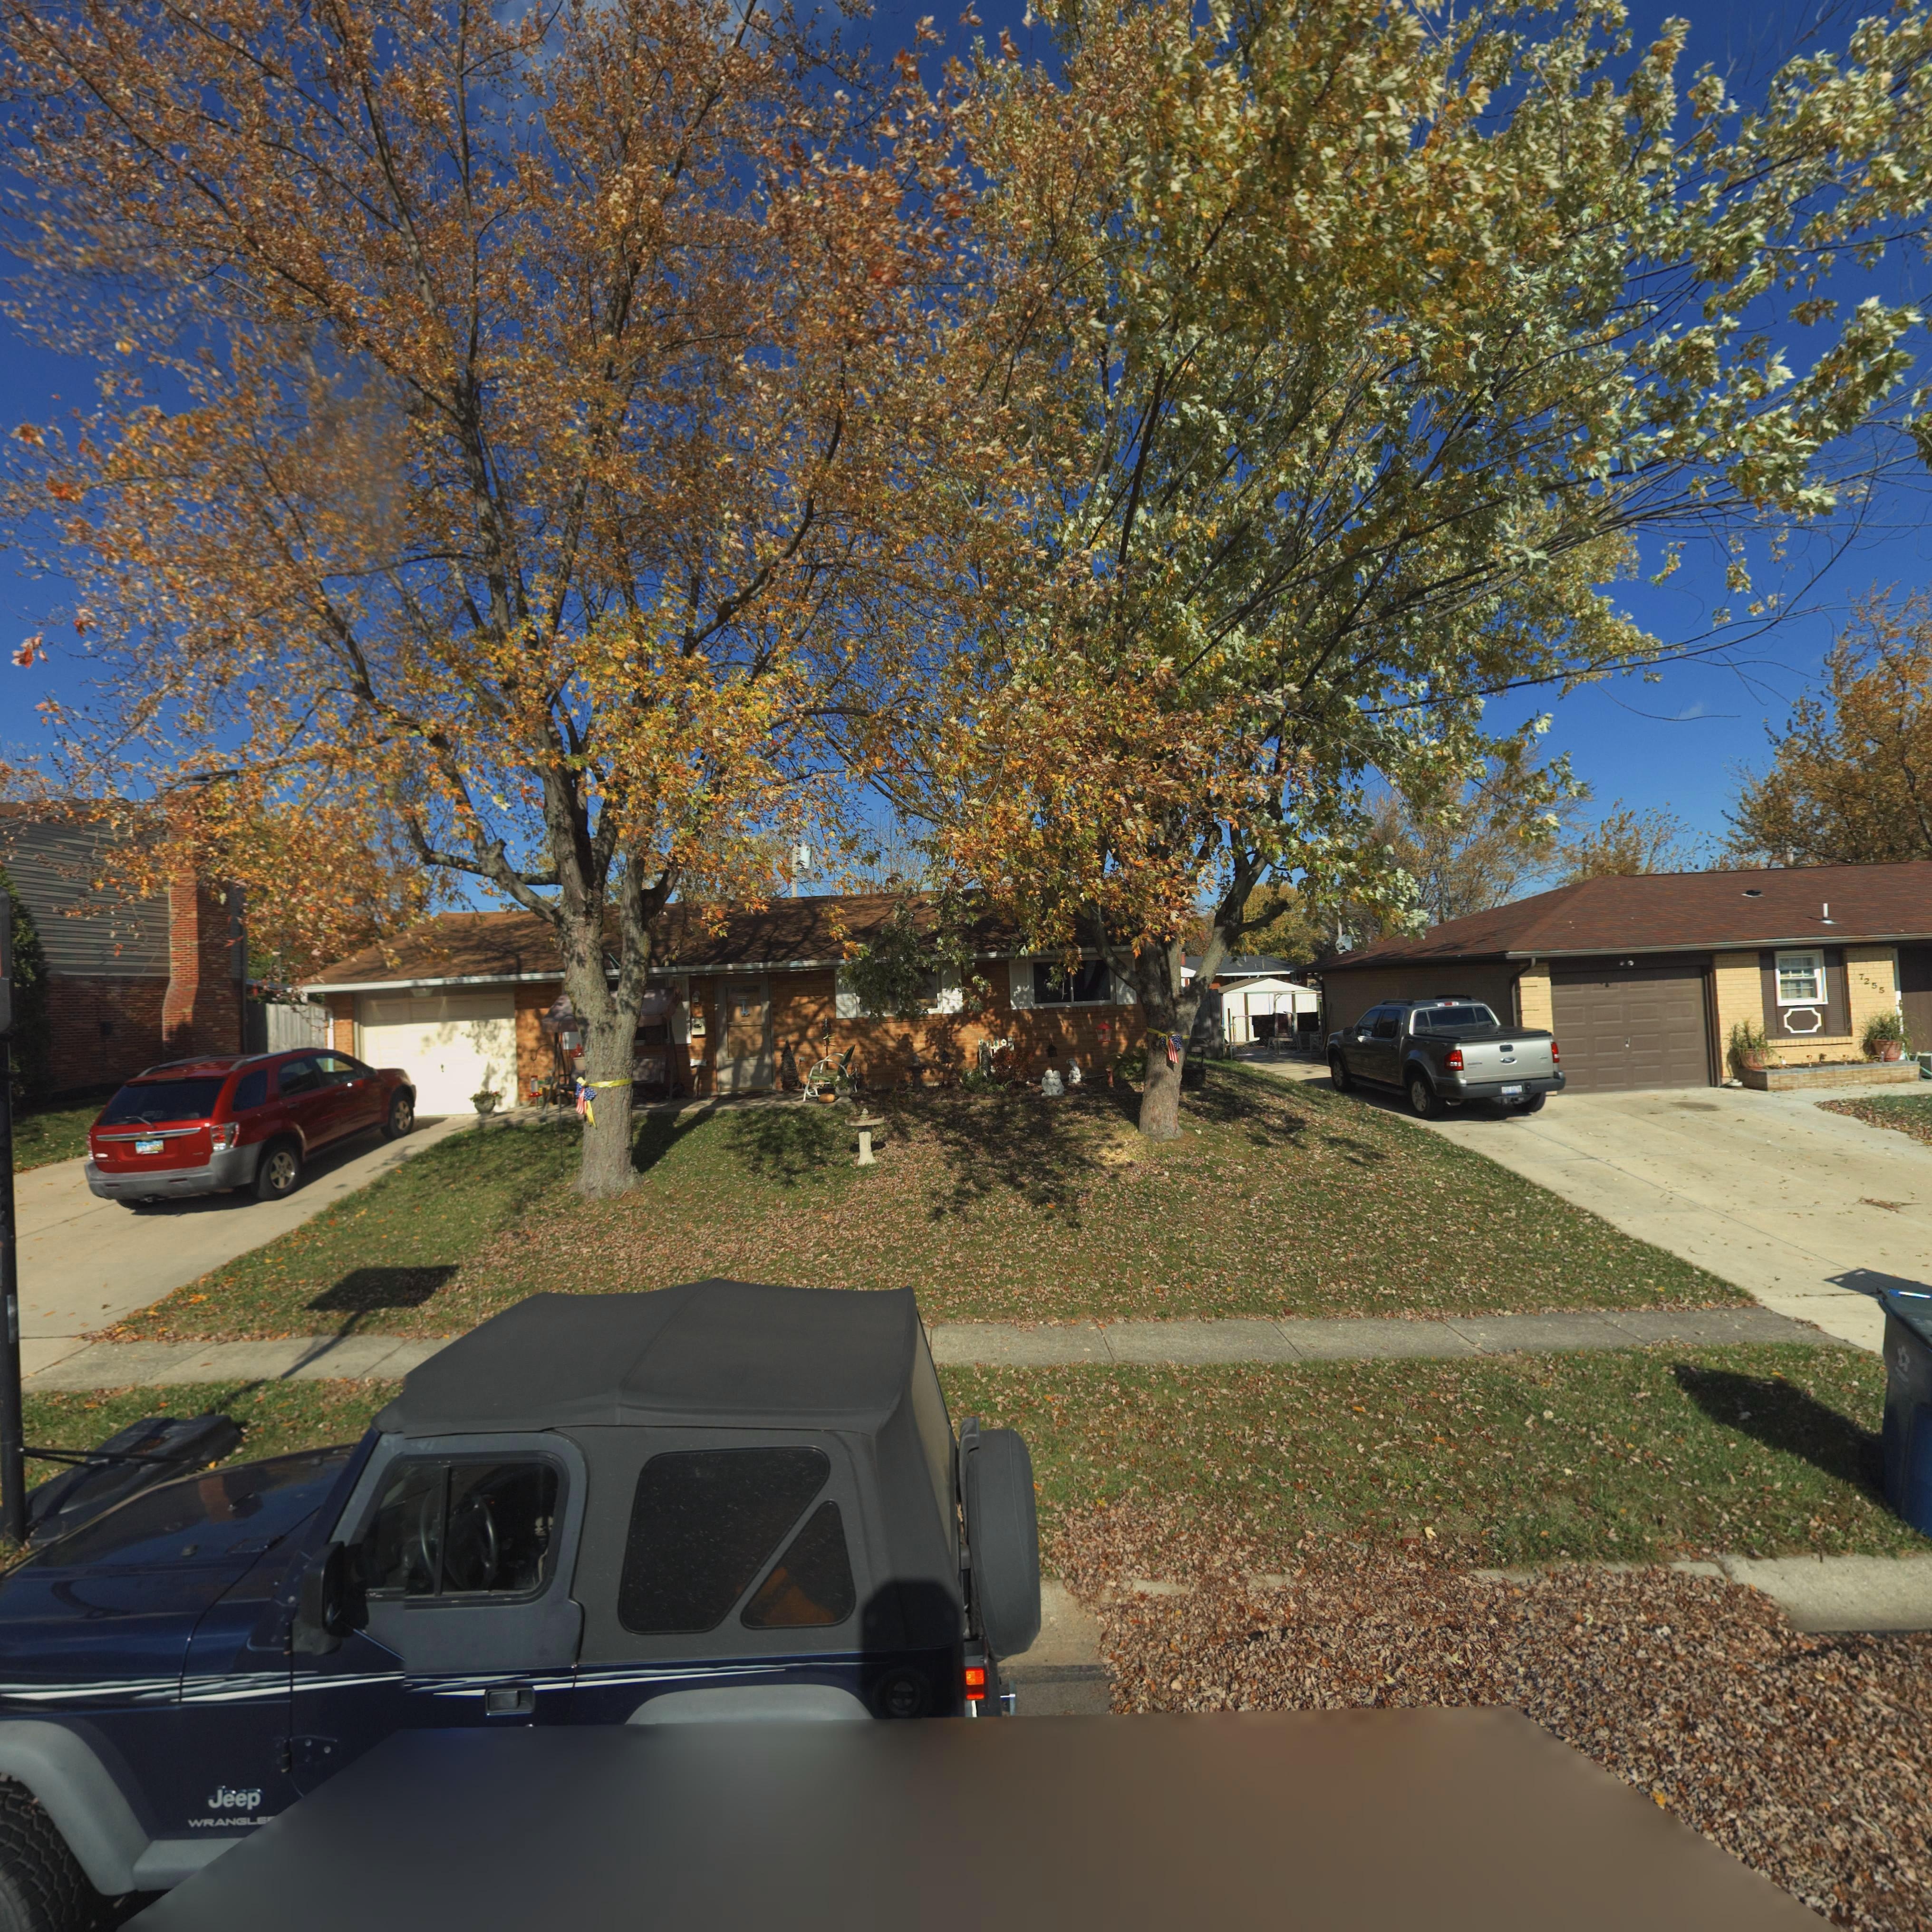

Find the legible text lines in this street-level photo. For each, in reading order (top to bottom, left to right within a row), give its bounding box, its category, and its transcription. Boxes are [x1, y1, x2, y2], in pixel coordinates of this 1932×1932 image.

[1857, 973, 1886, 995] StreetNumber: 7255